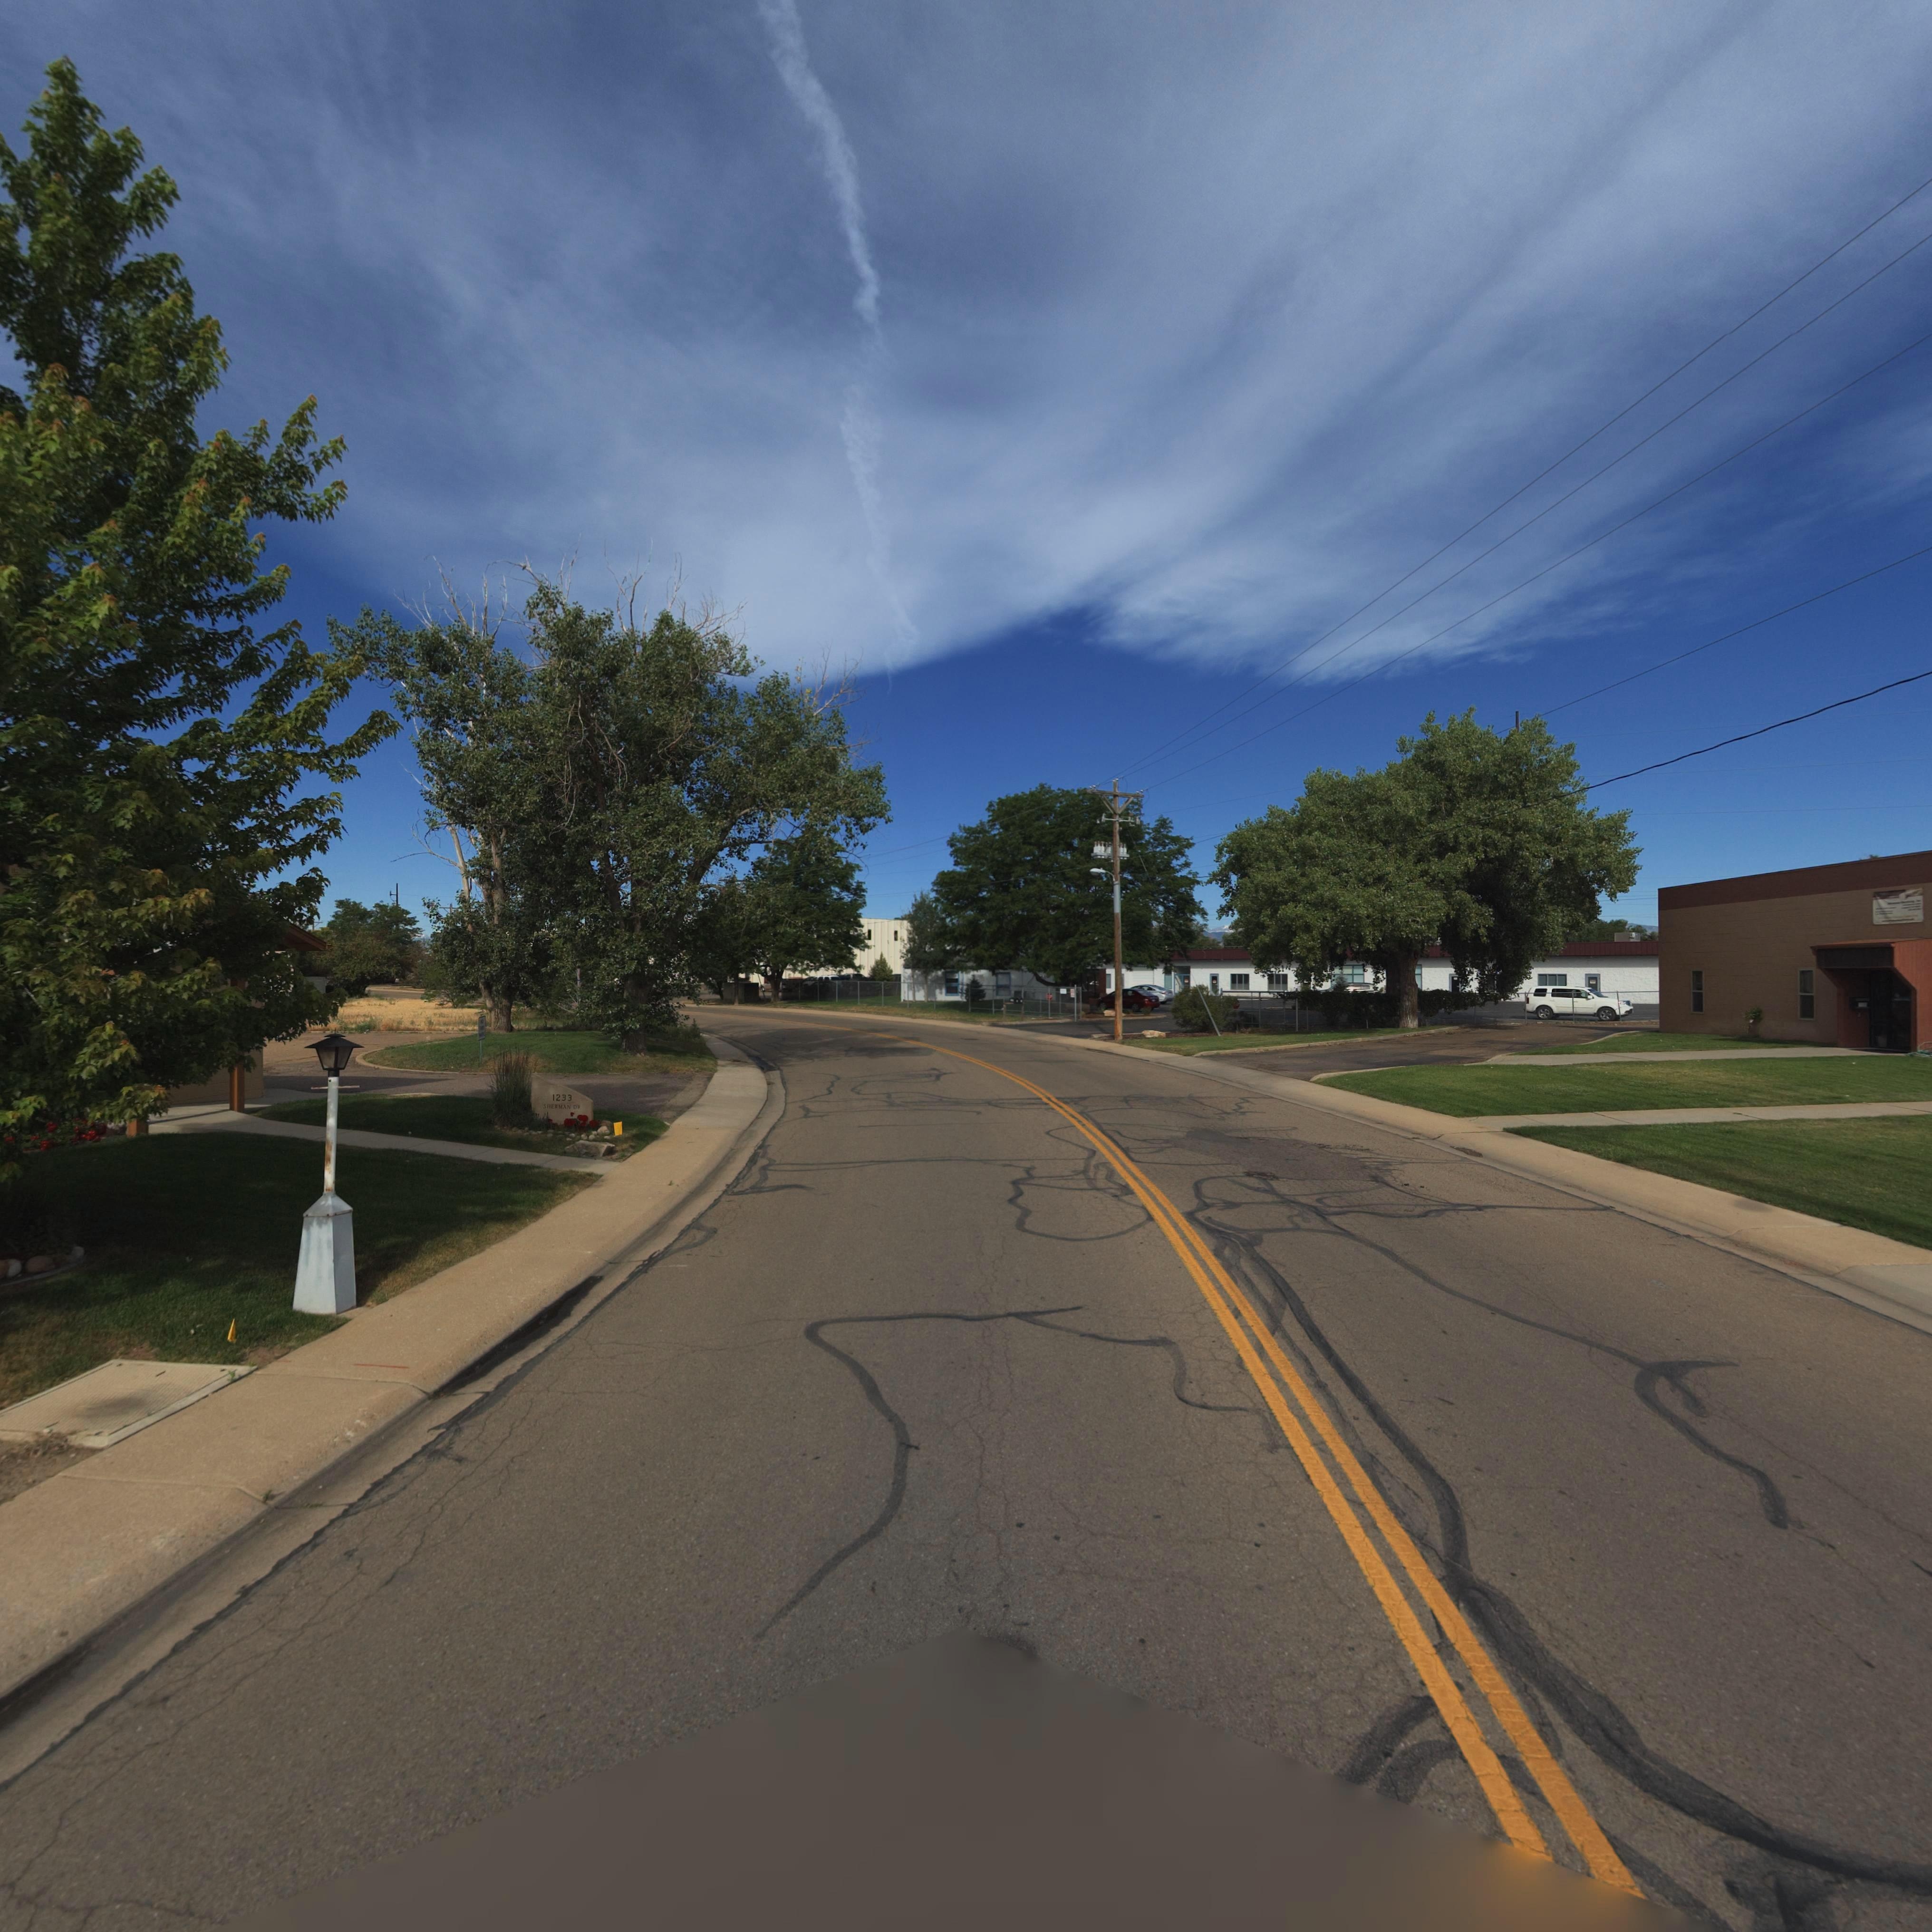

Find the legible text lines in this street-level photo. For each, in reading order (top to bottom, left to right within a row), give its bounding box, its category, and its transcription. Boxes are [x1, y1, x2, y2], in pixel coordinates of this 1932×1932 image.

[552, 1093, 572, 1101] StreetNumber: 1233
[542, 1103, 581, 1110] StreetName: SHERMAN DR